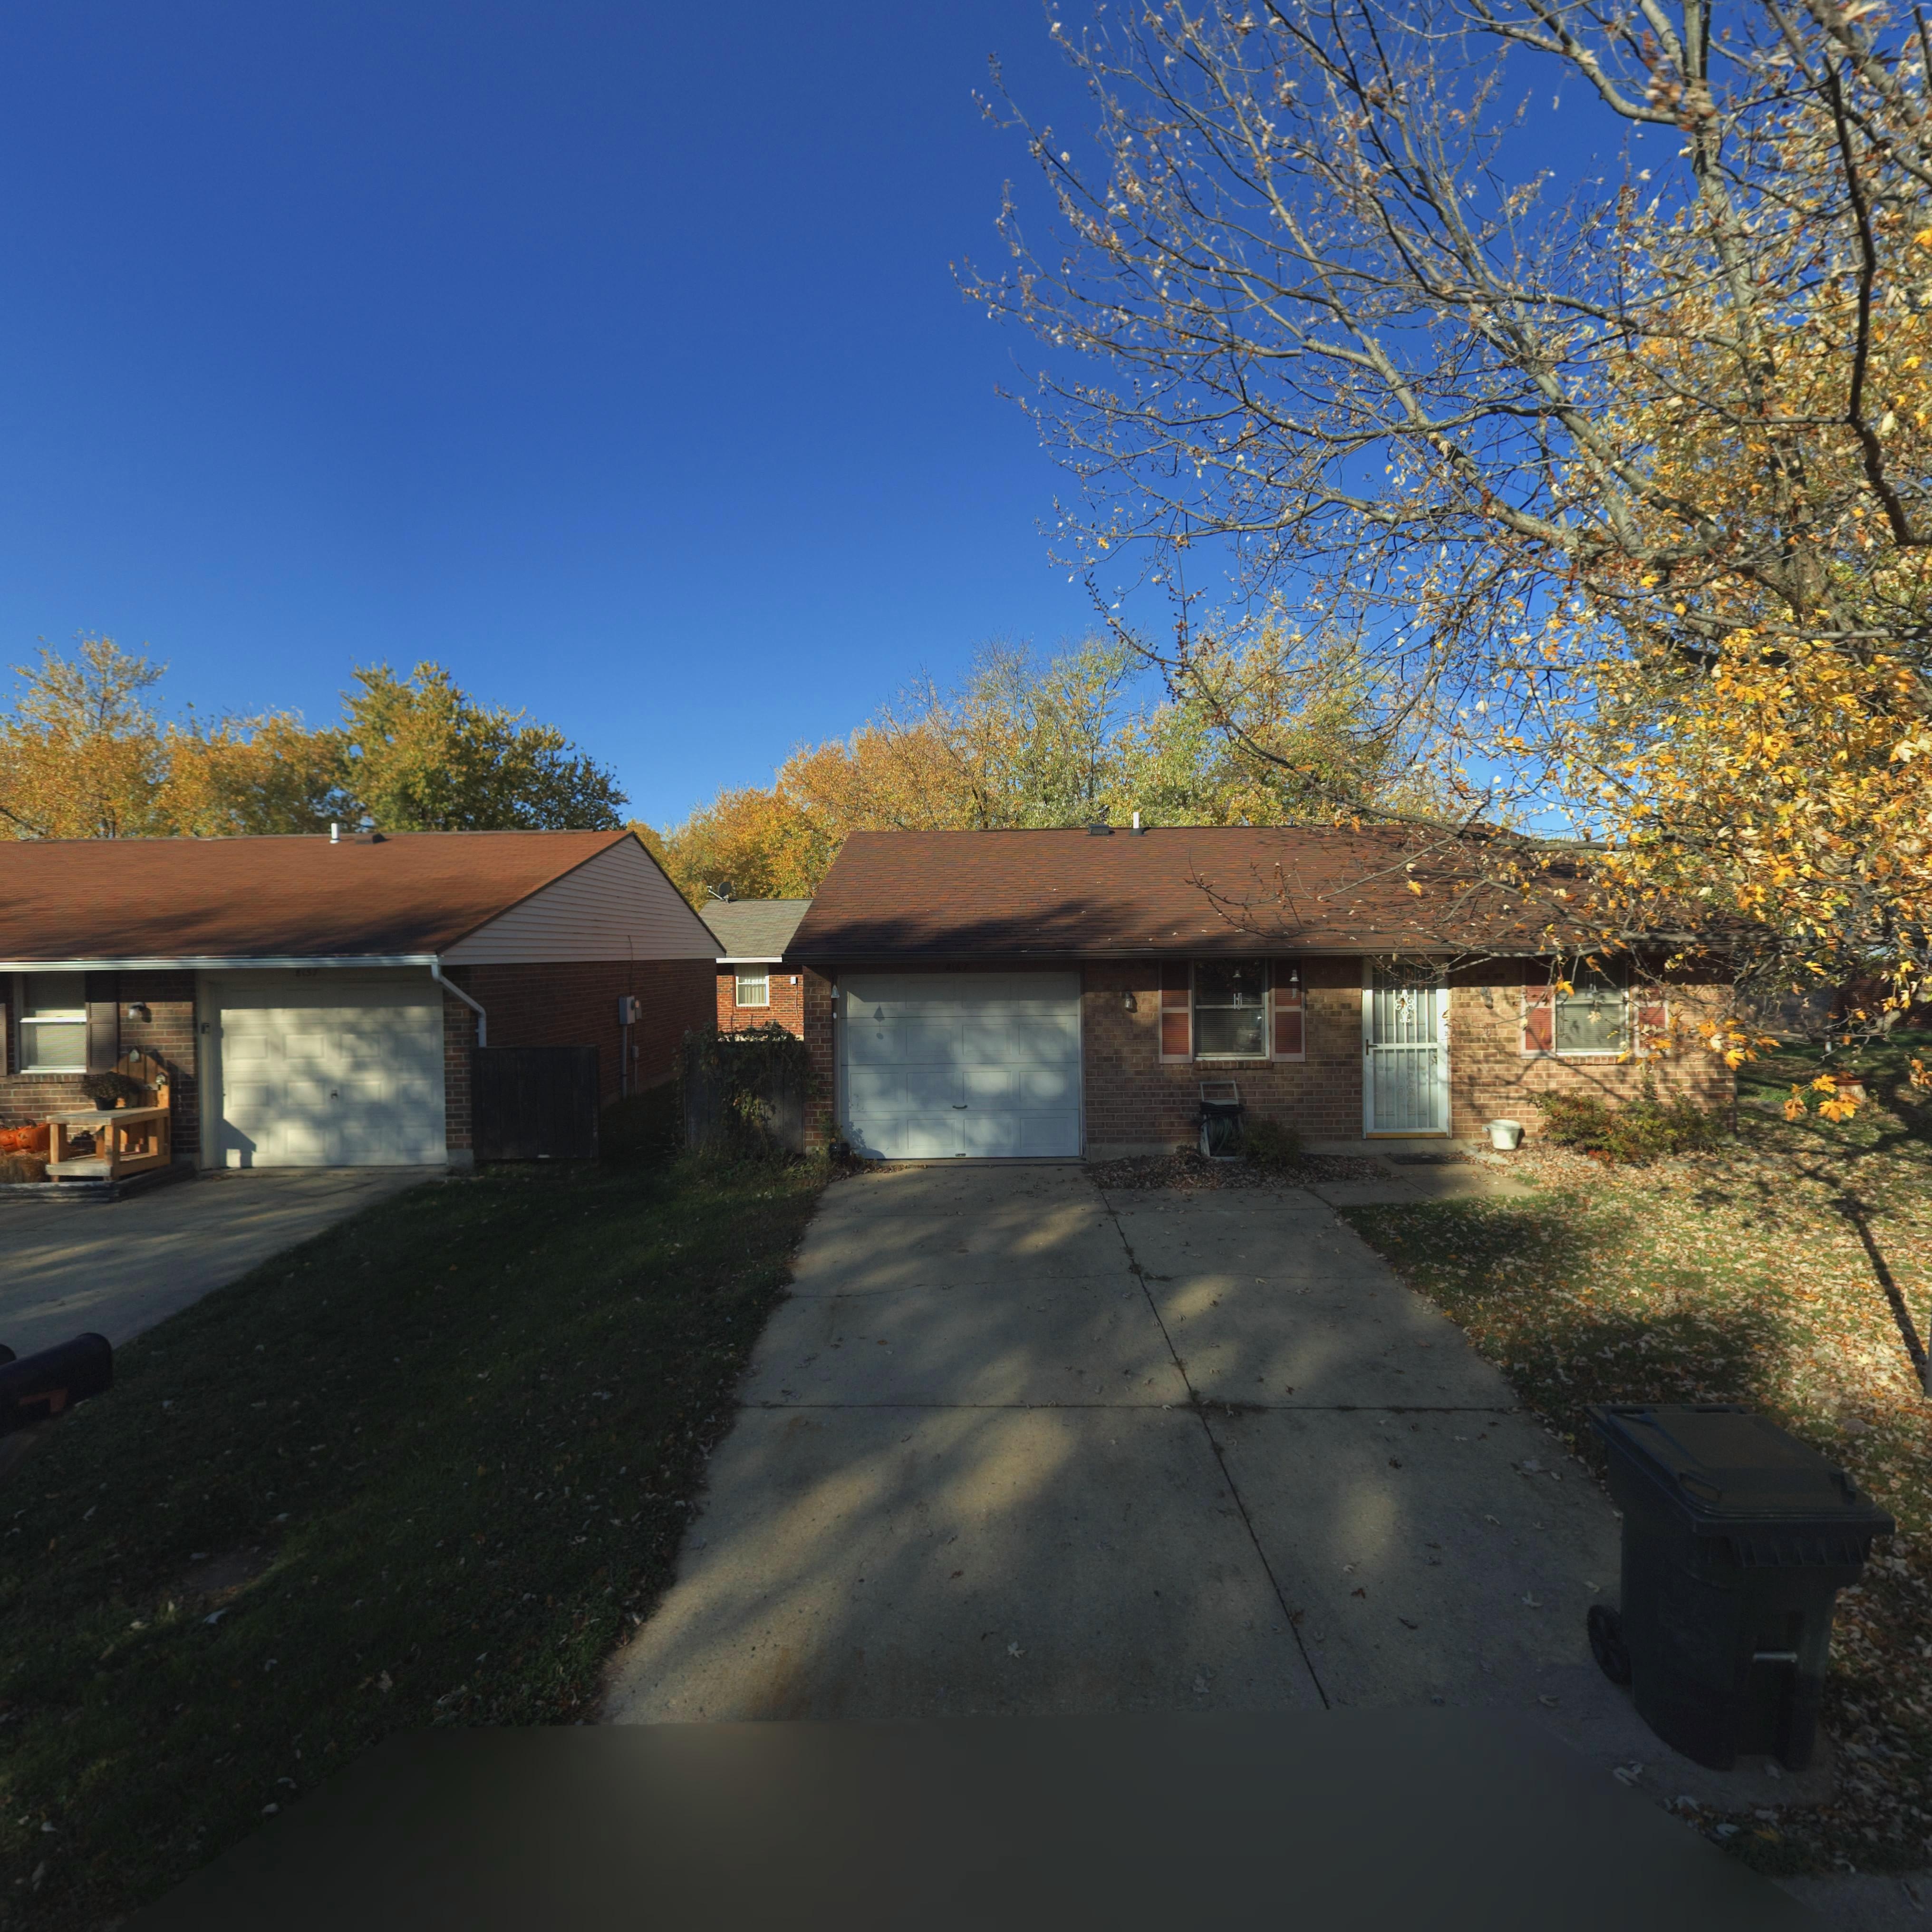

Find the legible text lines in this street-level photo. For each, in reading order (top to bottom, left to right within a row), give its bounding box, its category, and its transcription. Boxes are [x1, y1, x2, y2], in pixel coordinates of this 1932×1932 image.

[944, 963, 971, 972] StreetNumber: 8167
[294, 967, 320, 978] StreetNumber: 8157